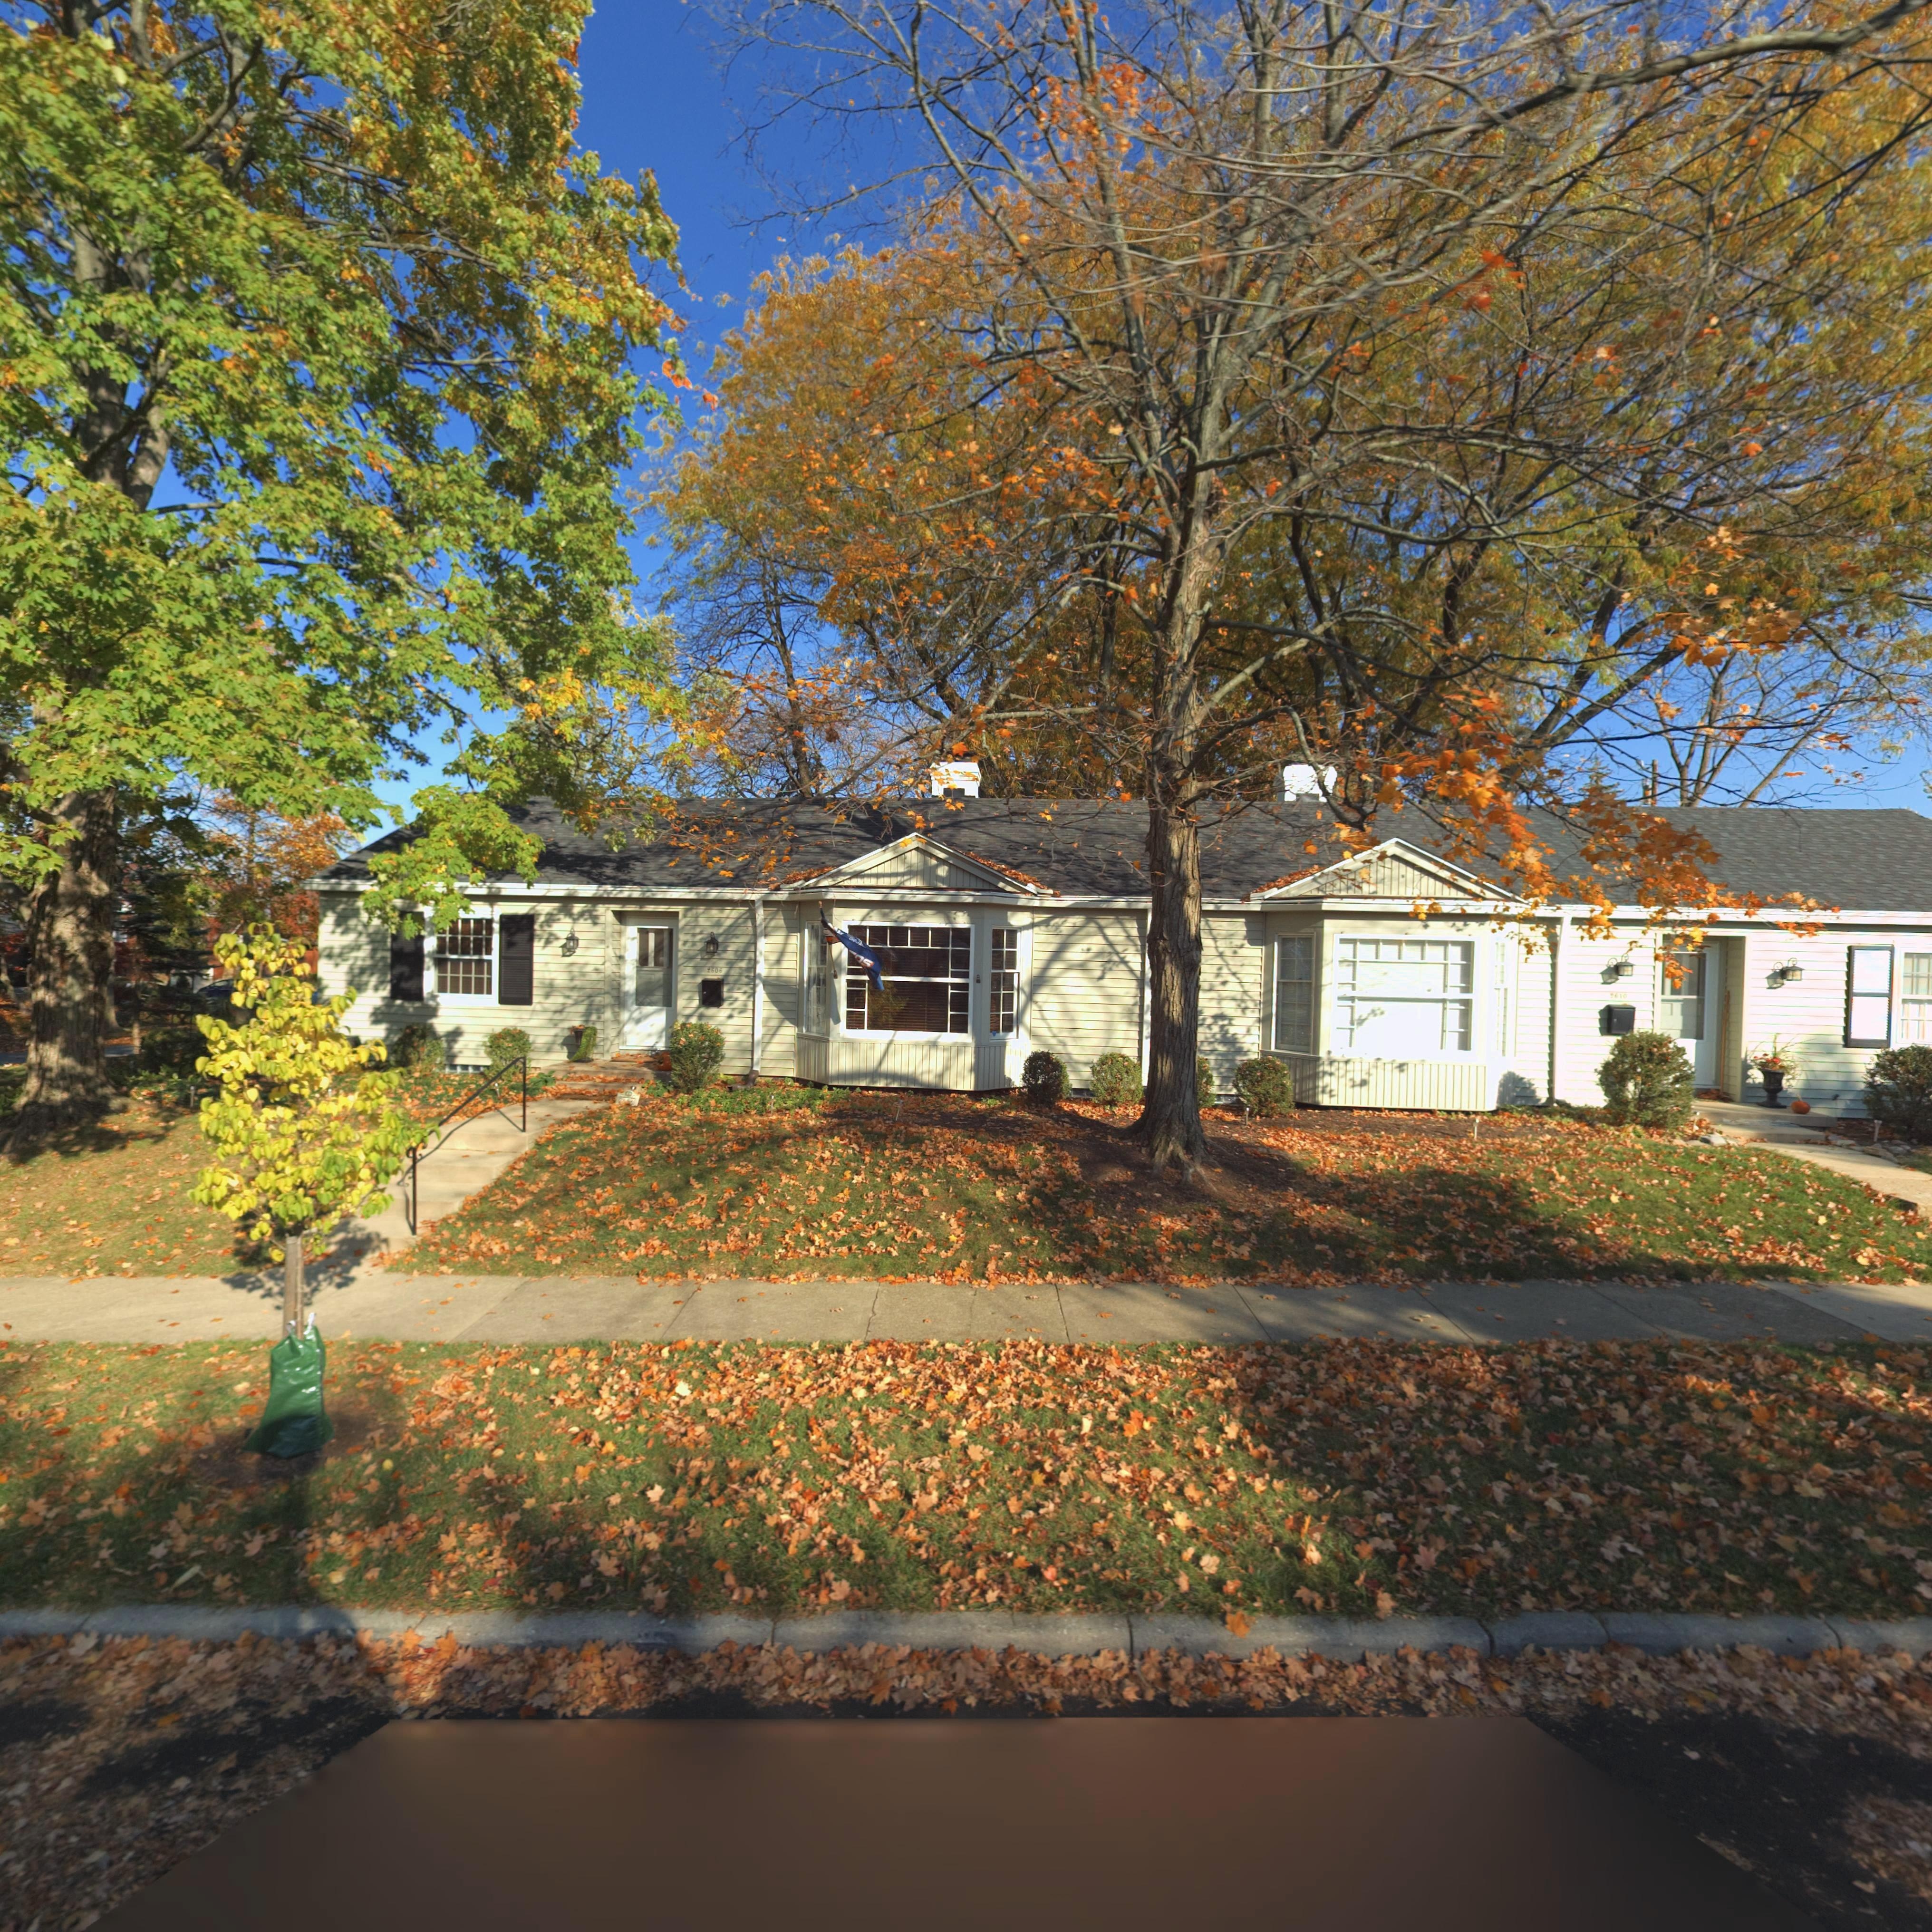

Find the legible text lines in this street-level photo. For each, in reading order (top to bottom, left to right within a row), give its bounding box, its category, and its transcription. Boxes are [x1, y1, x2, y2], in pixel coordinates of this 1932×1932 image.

[706, 966, 724, 974] StreetNumber: 2606
[1609, 991, 1629, 1000] StreetNumber: *610